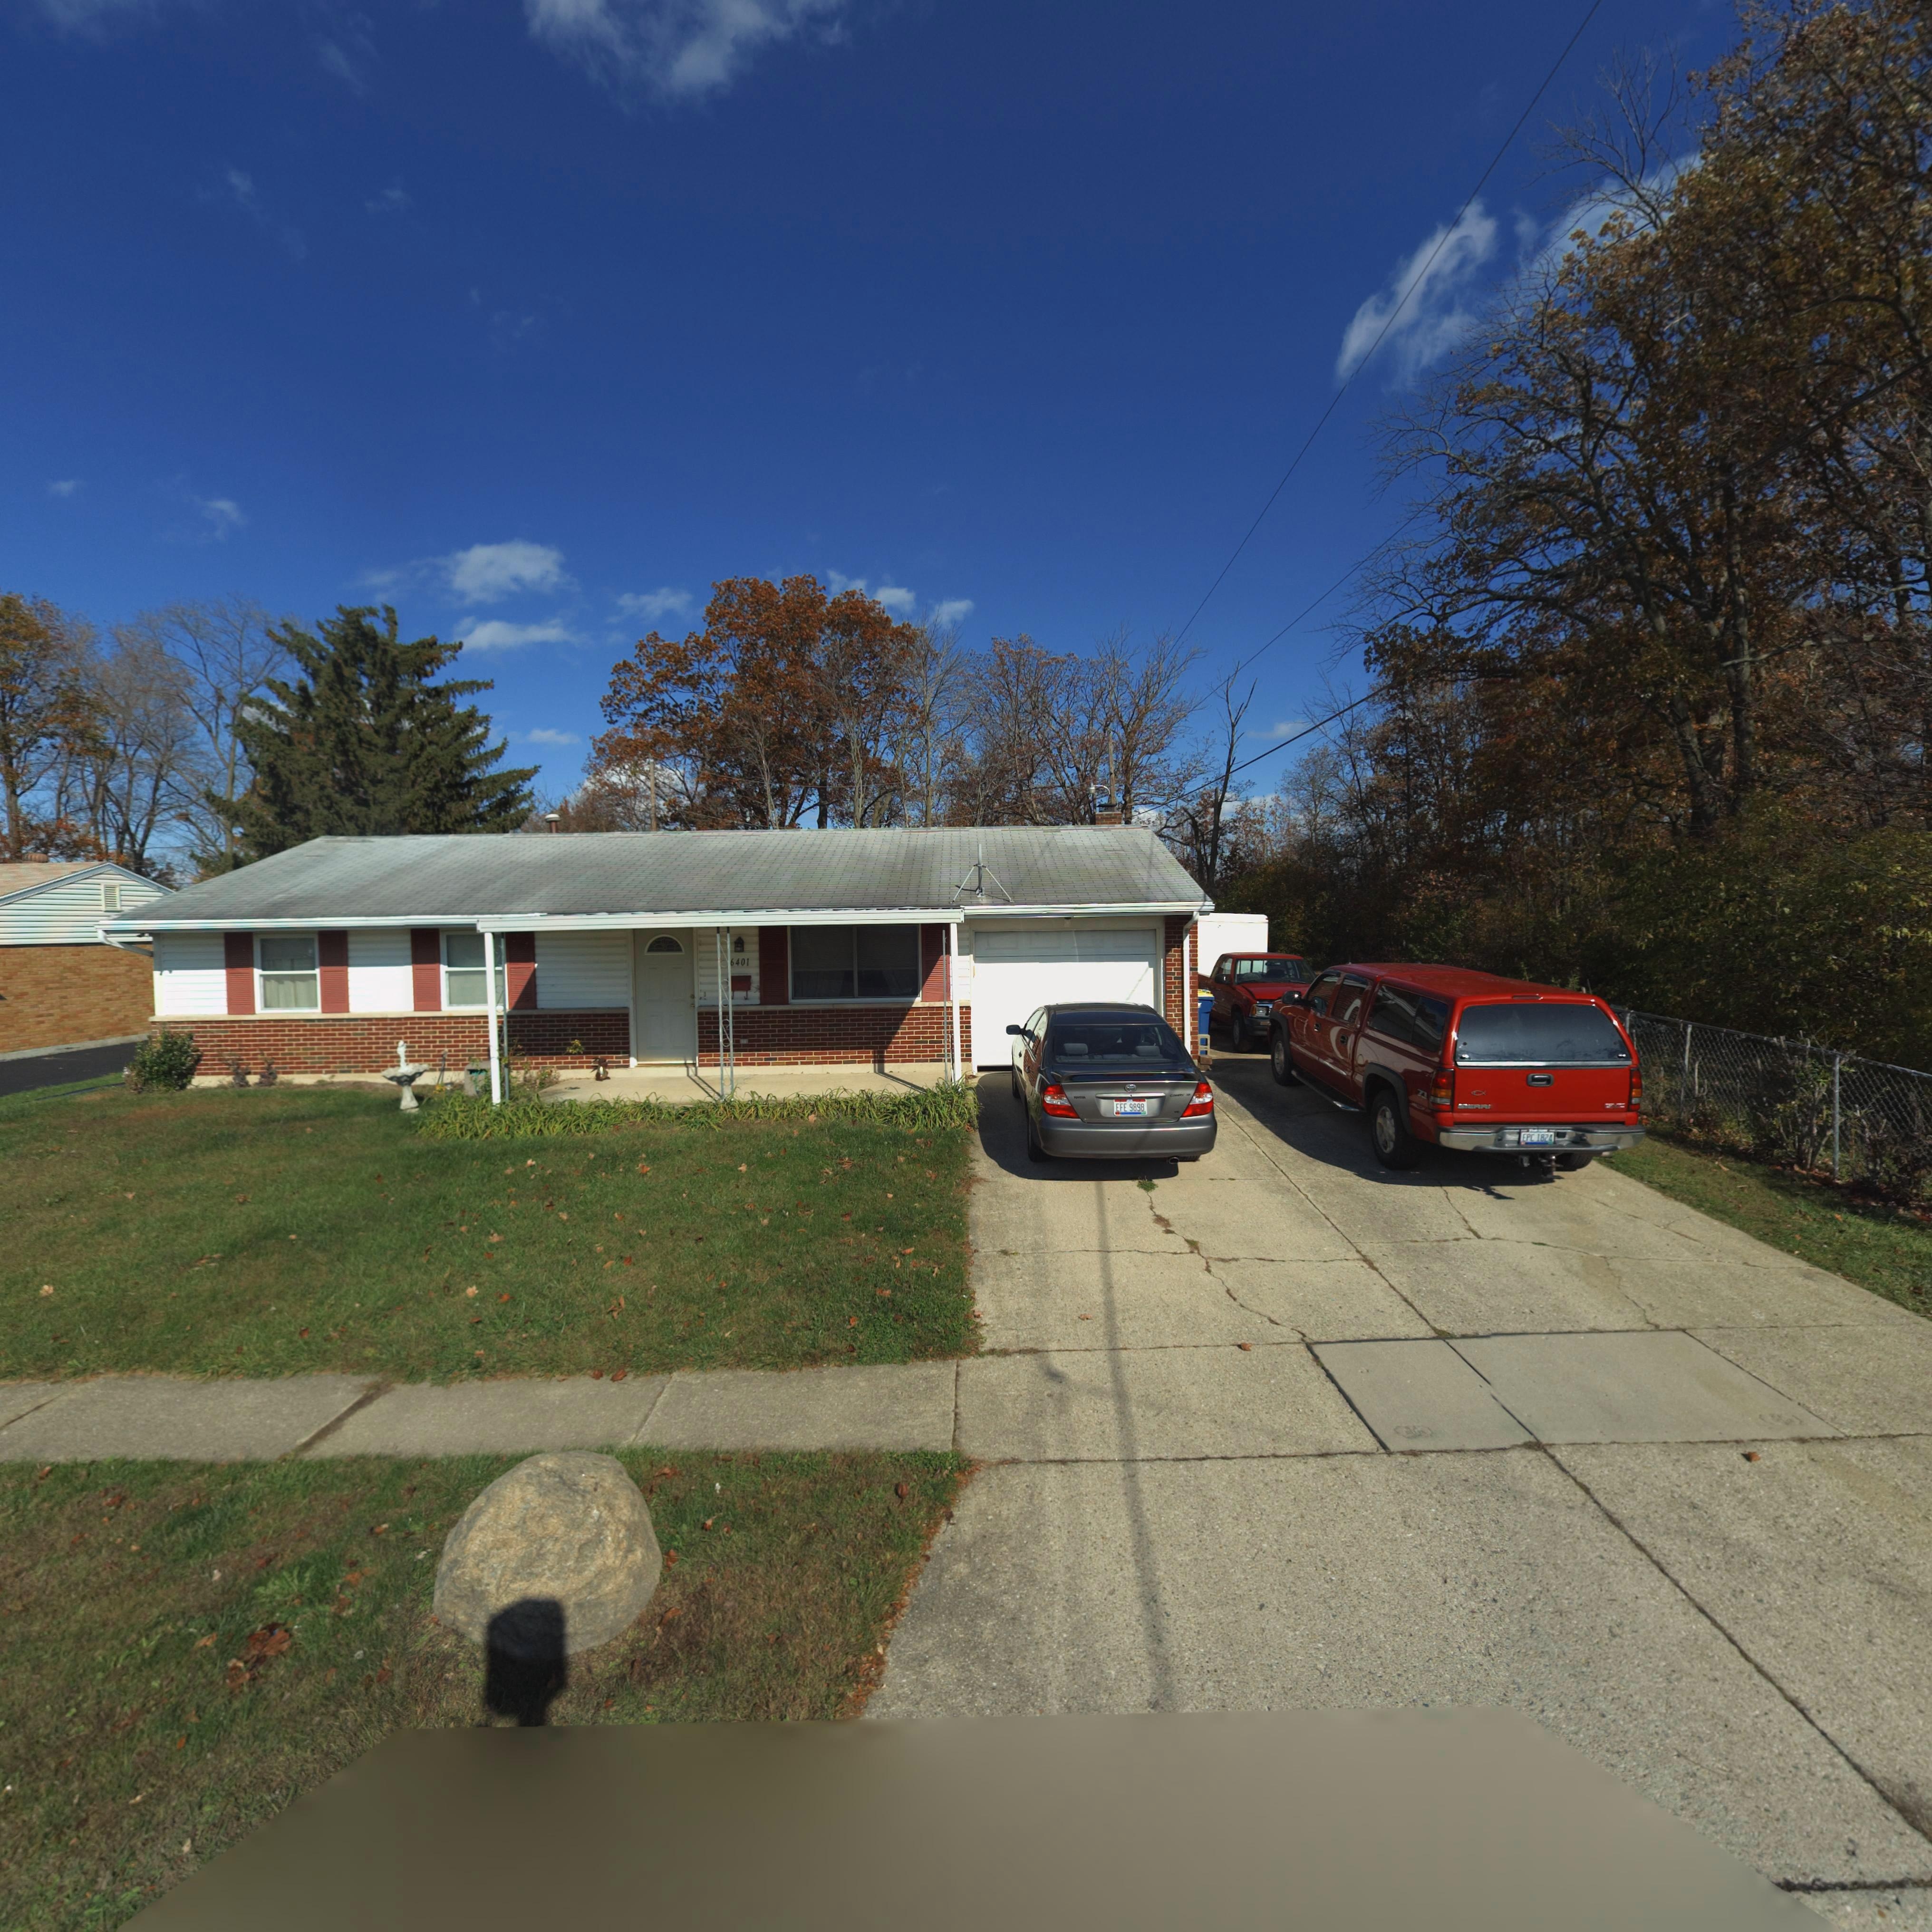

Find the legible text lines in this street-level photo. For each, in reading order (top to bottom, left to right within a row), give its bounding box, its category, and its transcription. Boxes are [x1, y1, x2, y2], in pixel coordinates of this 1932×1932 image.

[730, 957, 750, 966] StreetNumber: 6401